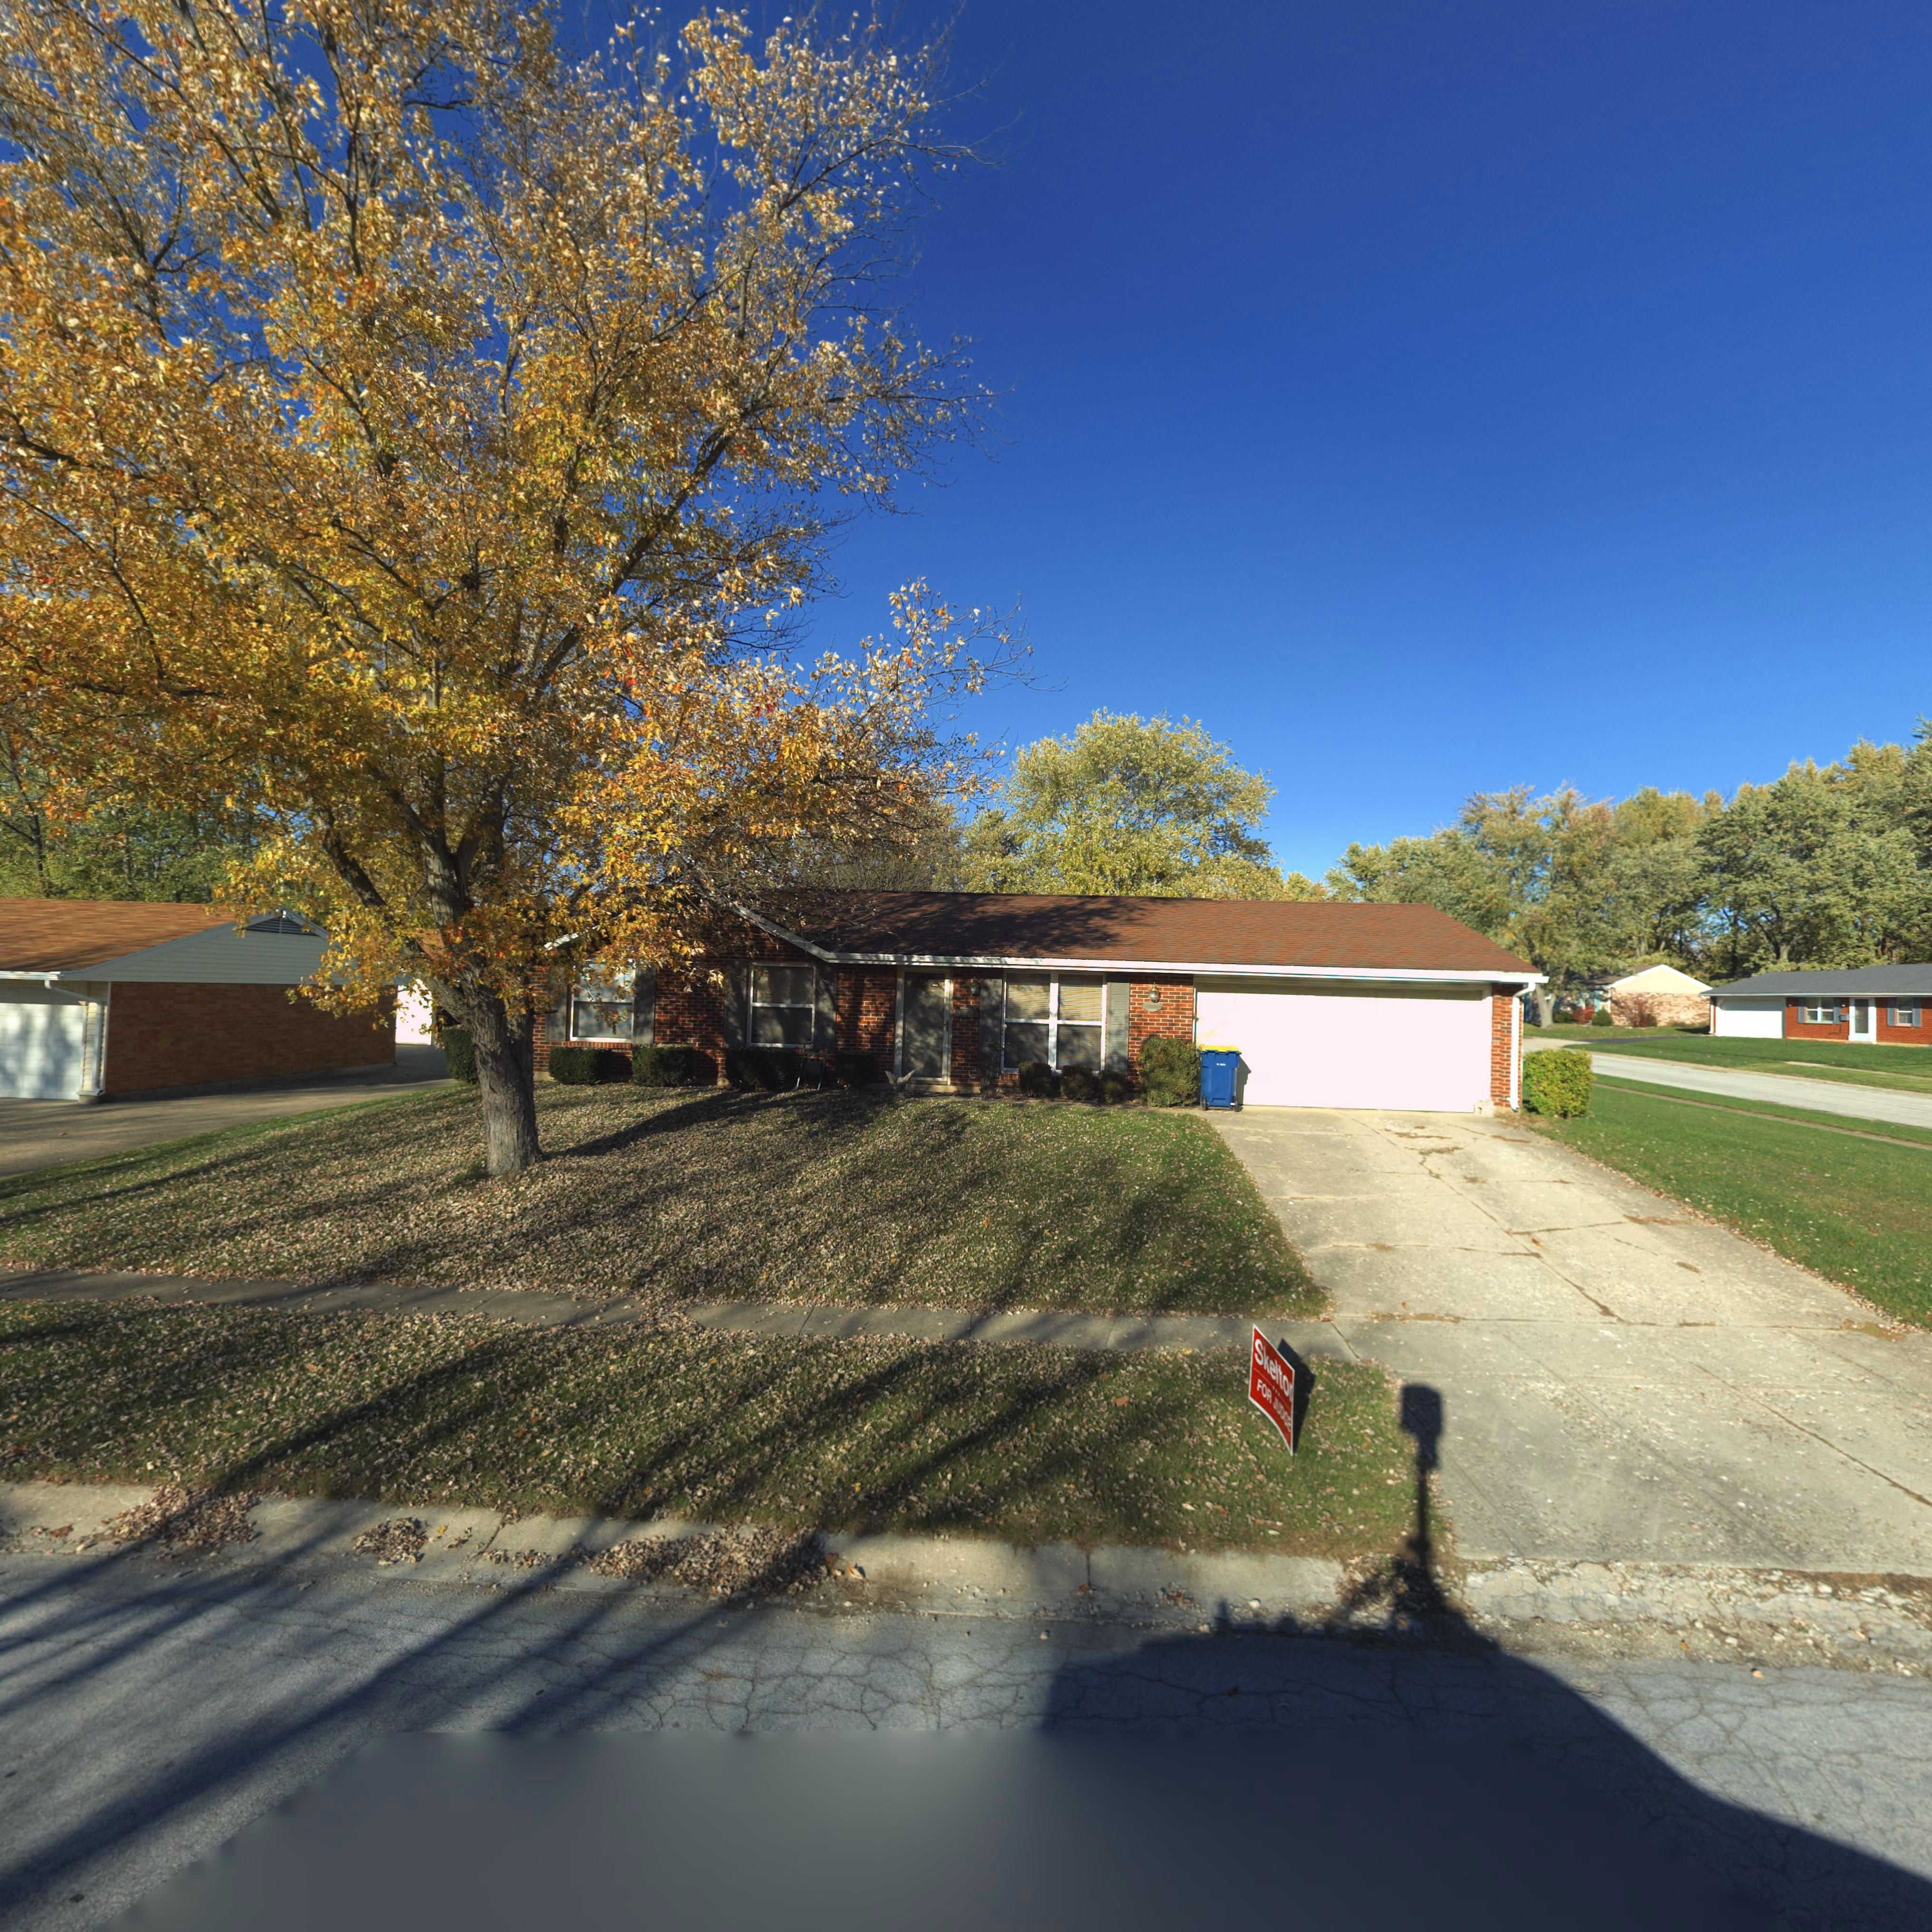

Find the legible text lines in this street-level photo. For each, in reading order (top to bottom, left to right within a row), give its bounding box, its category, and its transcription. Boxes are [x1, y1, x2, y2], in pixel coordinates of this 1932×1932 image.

[1144, 1004, 1159, 1009] StreetNumber: 500*